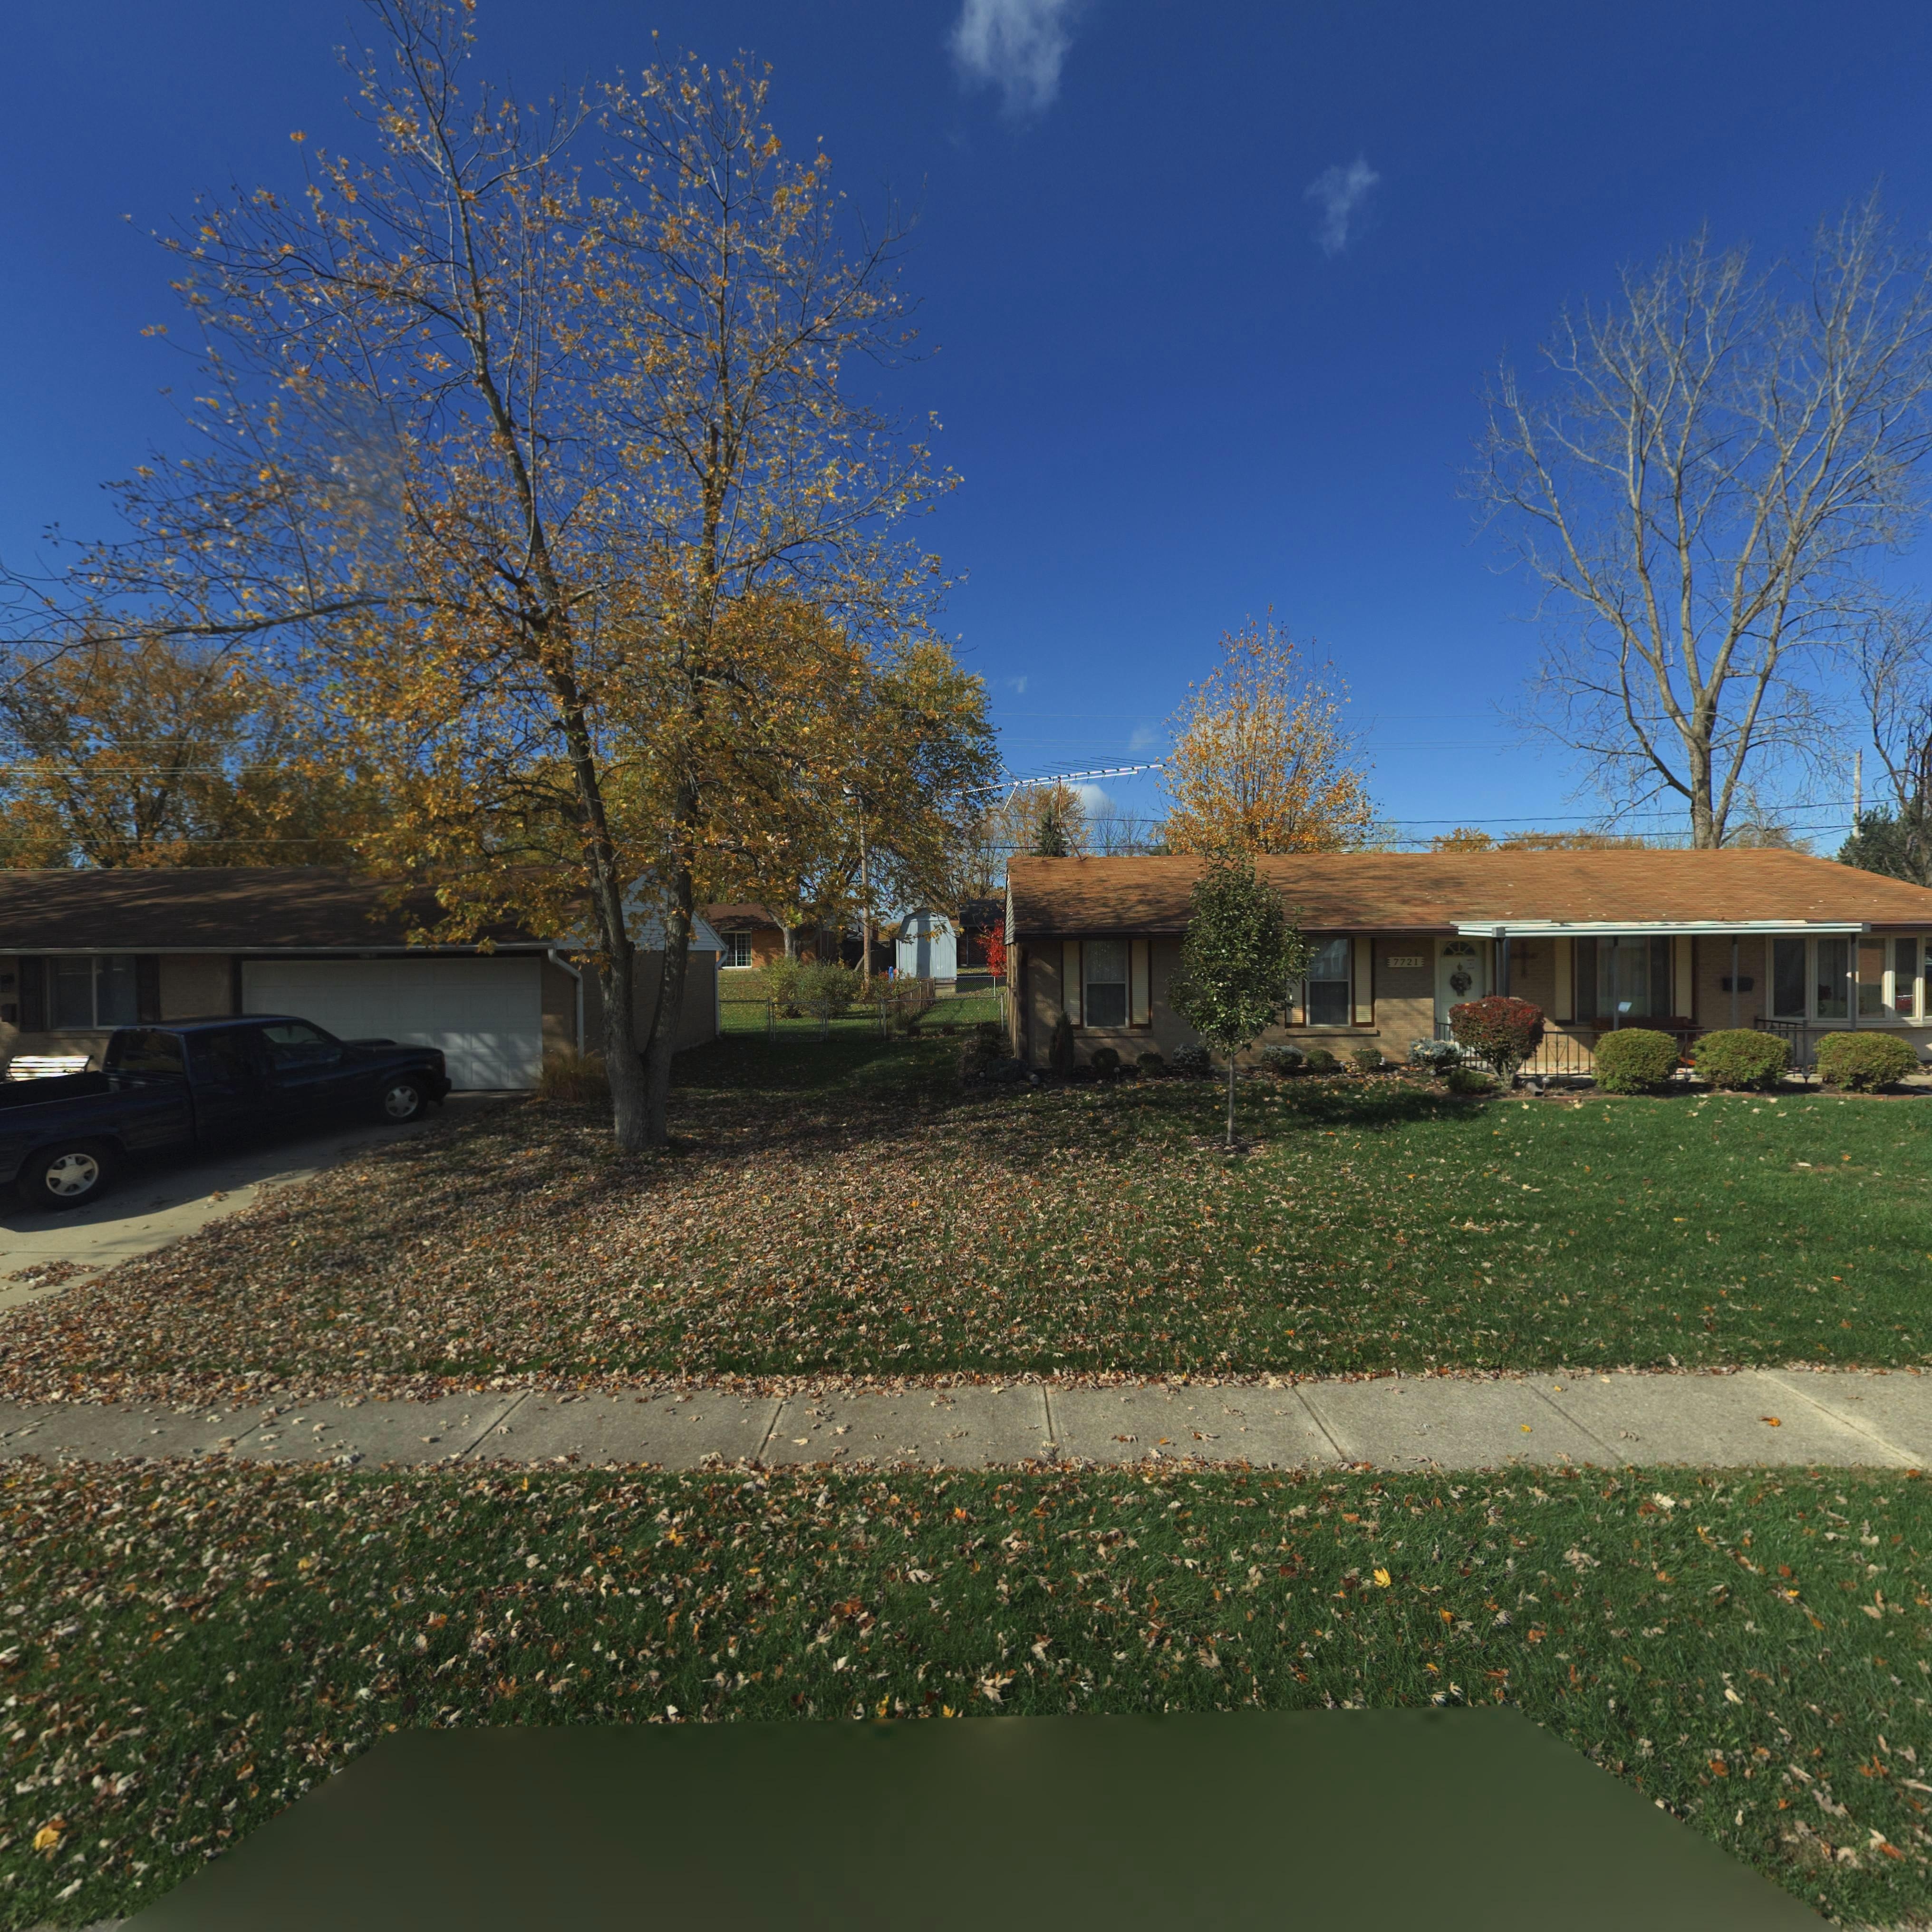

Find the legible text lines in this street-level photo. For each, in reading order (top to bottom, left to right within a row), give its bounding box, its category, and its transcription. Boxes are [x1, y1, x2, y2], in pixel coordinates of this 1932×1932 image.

[1392, 957, 1419, 967] StreetNumber: 7721